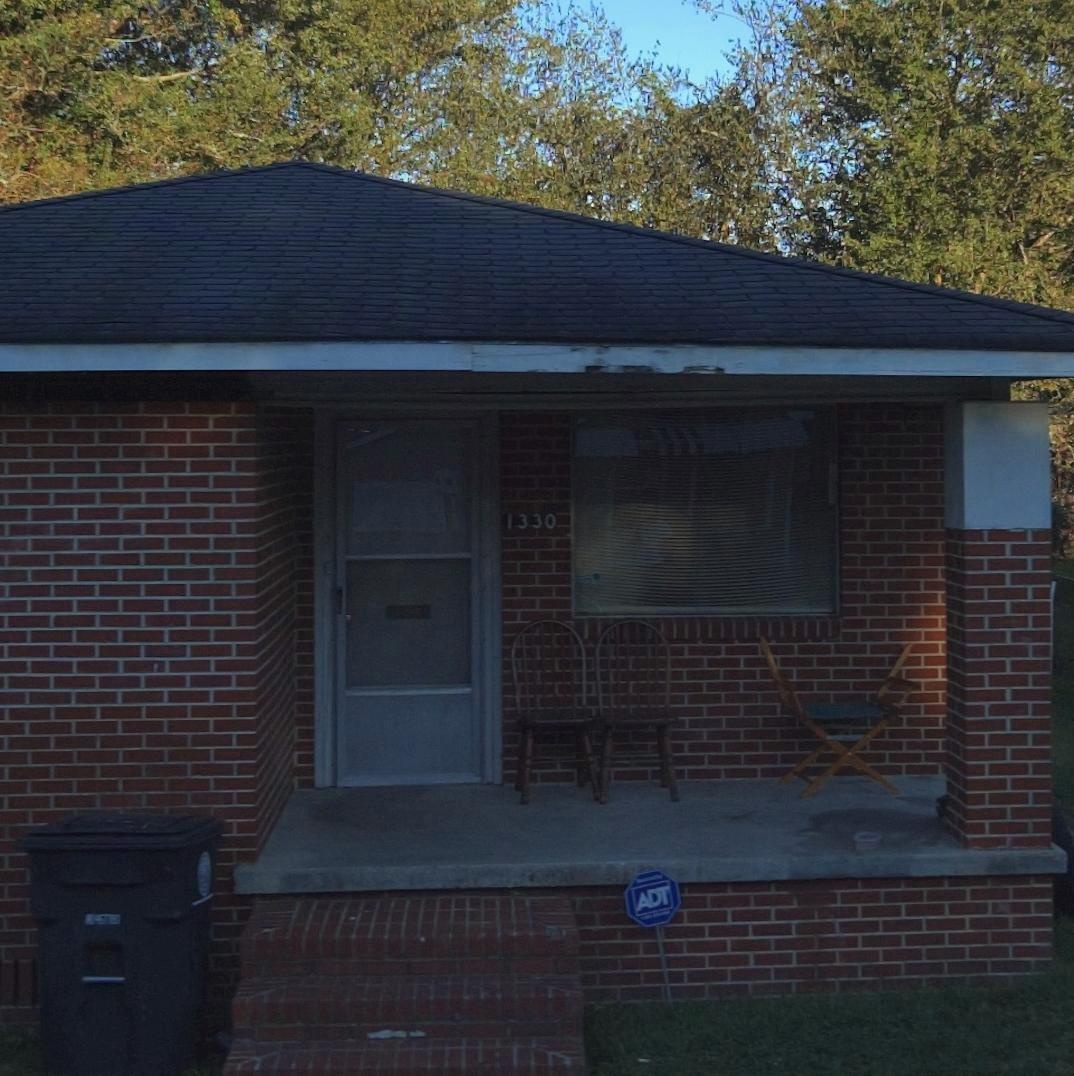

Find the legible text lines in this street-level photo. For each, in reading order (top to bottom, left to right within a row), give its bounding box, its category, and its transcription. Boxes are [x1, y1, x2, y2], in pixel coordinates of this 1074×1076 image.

[502, 509, 559, 532] StreetNumber: 1330
[632, 881, 675, 916] None: ADT